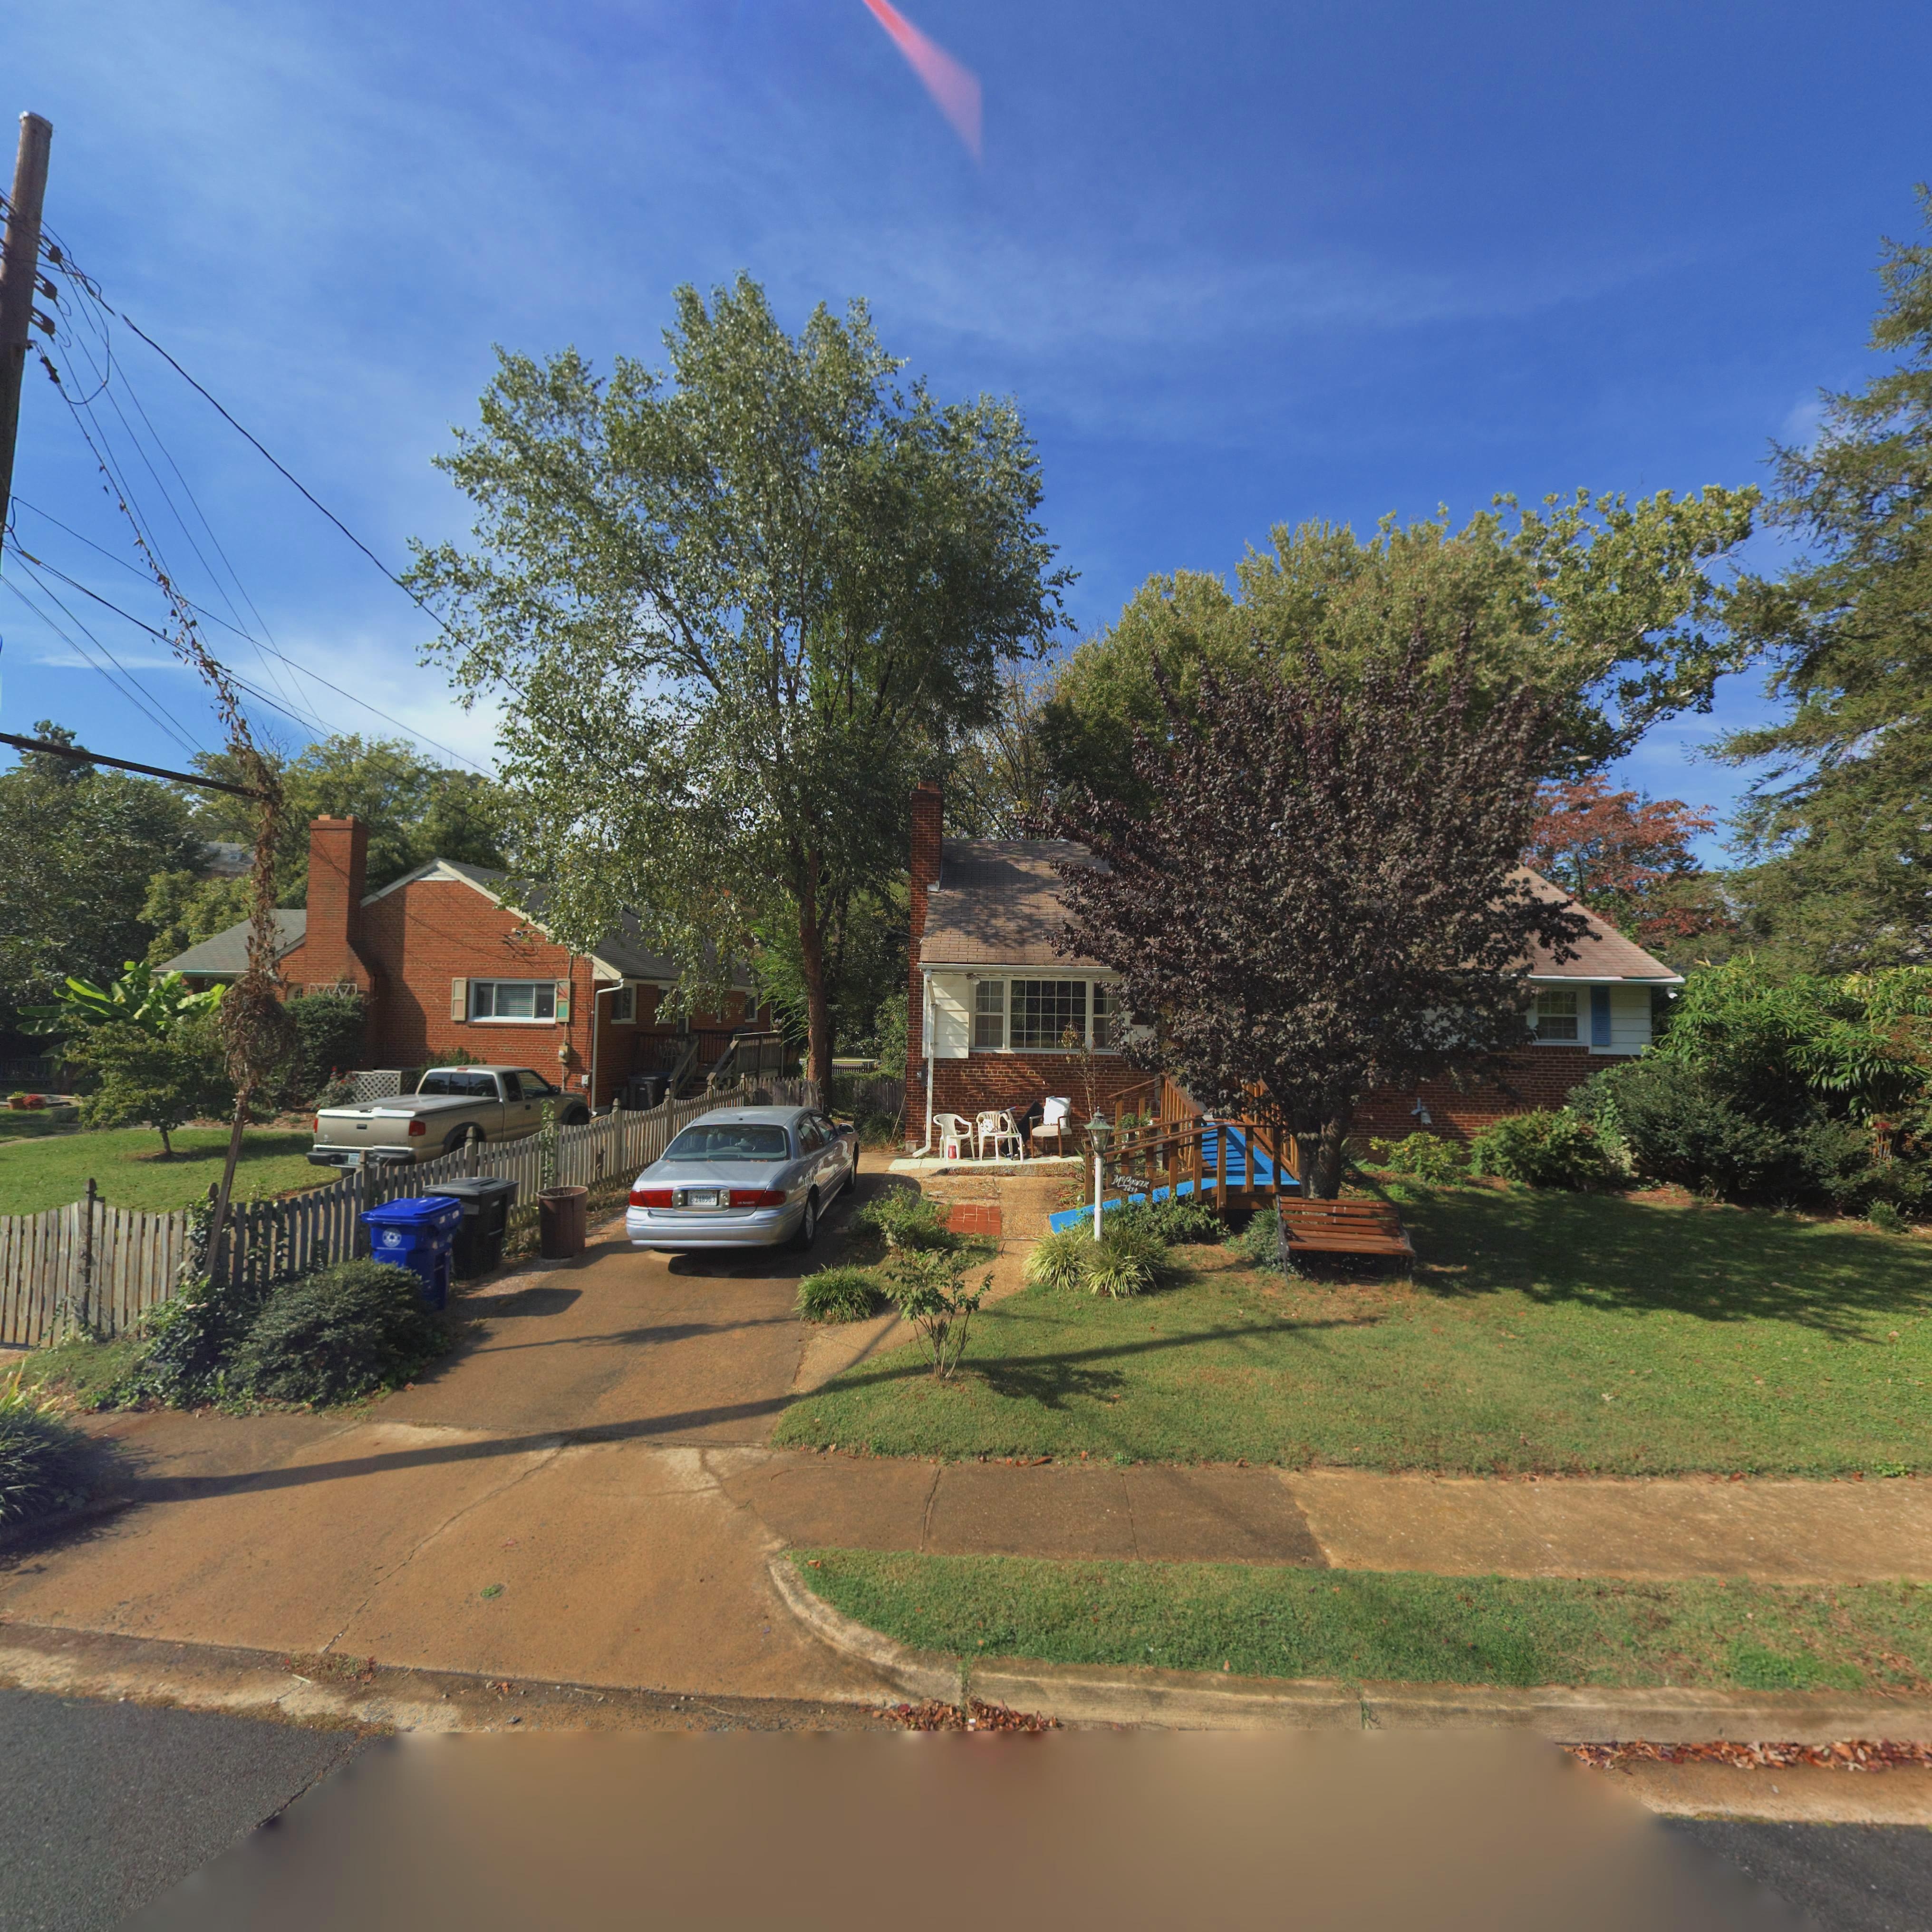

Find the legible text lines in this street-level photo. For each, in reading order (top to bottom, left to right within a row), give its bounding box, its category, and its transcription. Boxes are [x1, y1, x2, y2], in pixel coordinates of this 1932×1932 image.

[695, 1195, 715, 1202] None: 248963